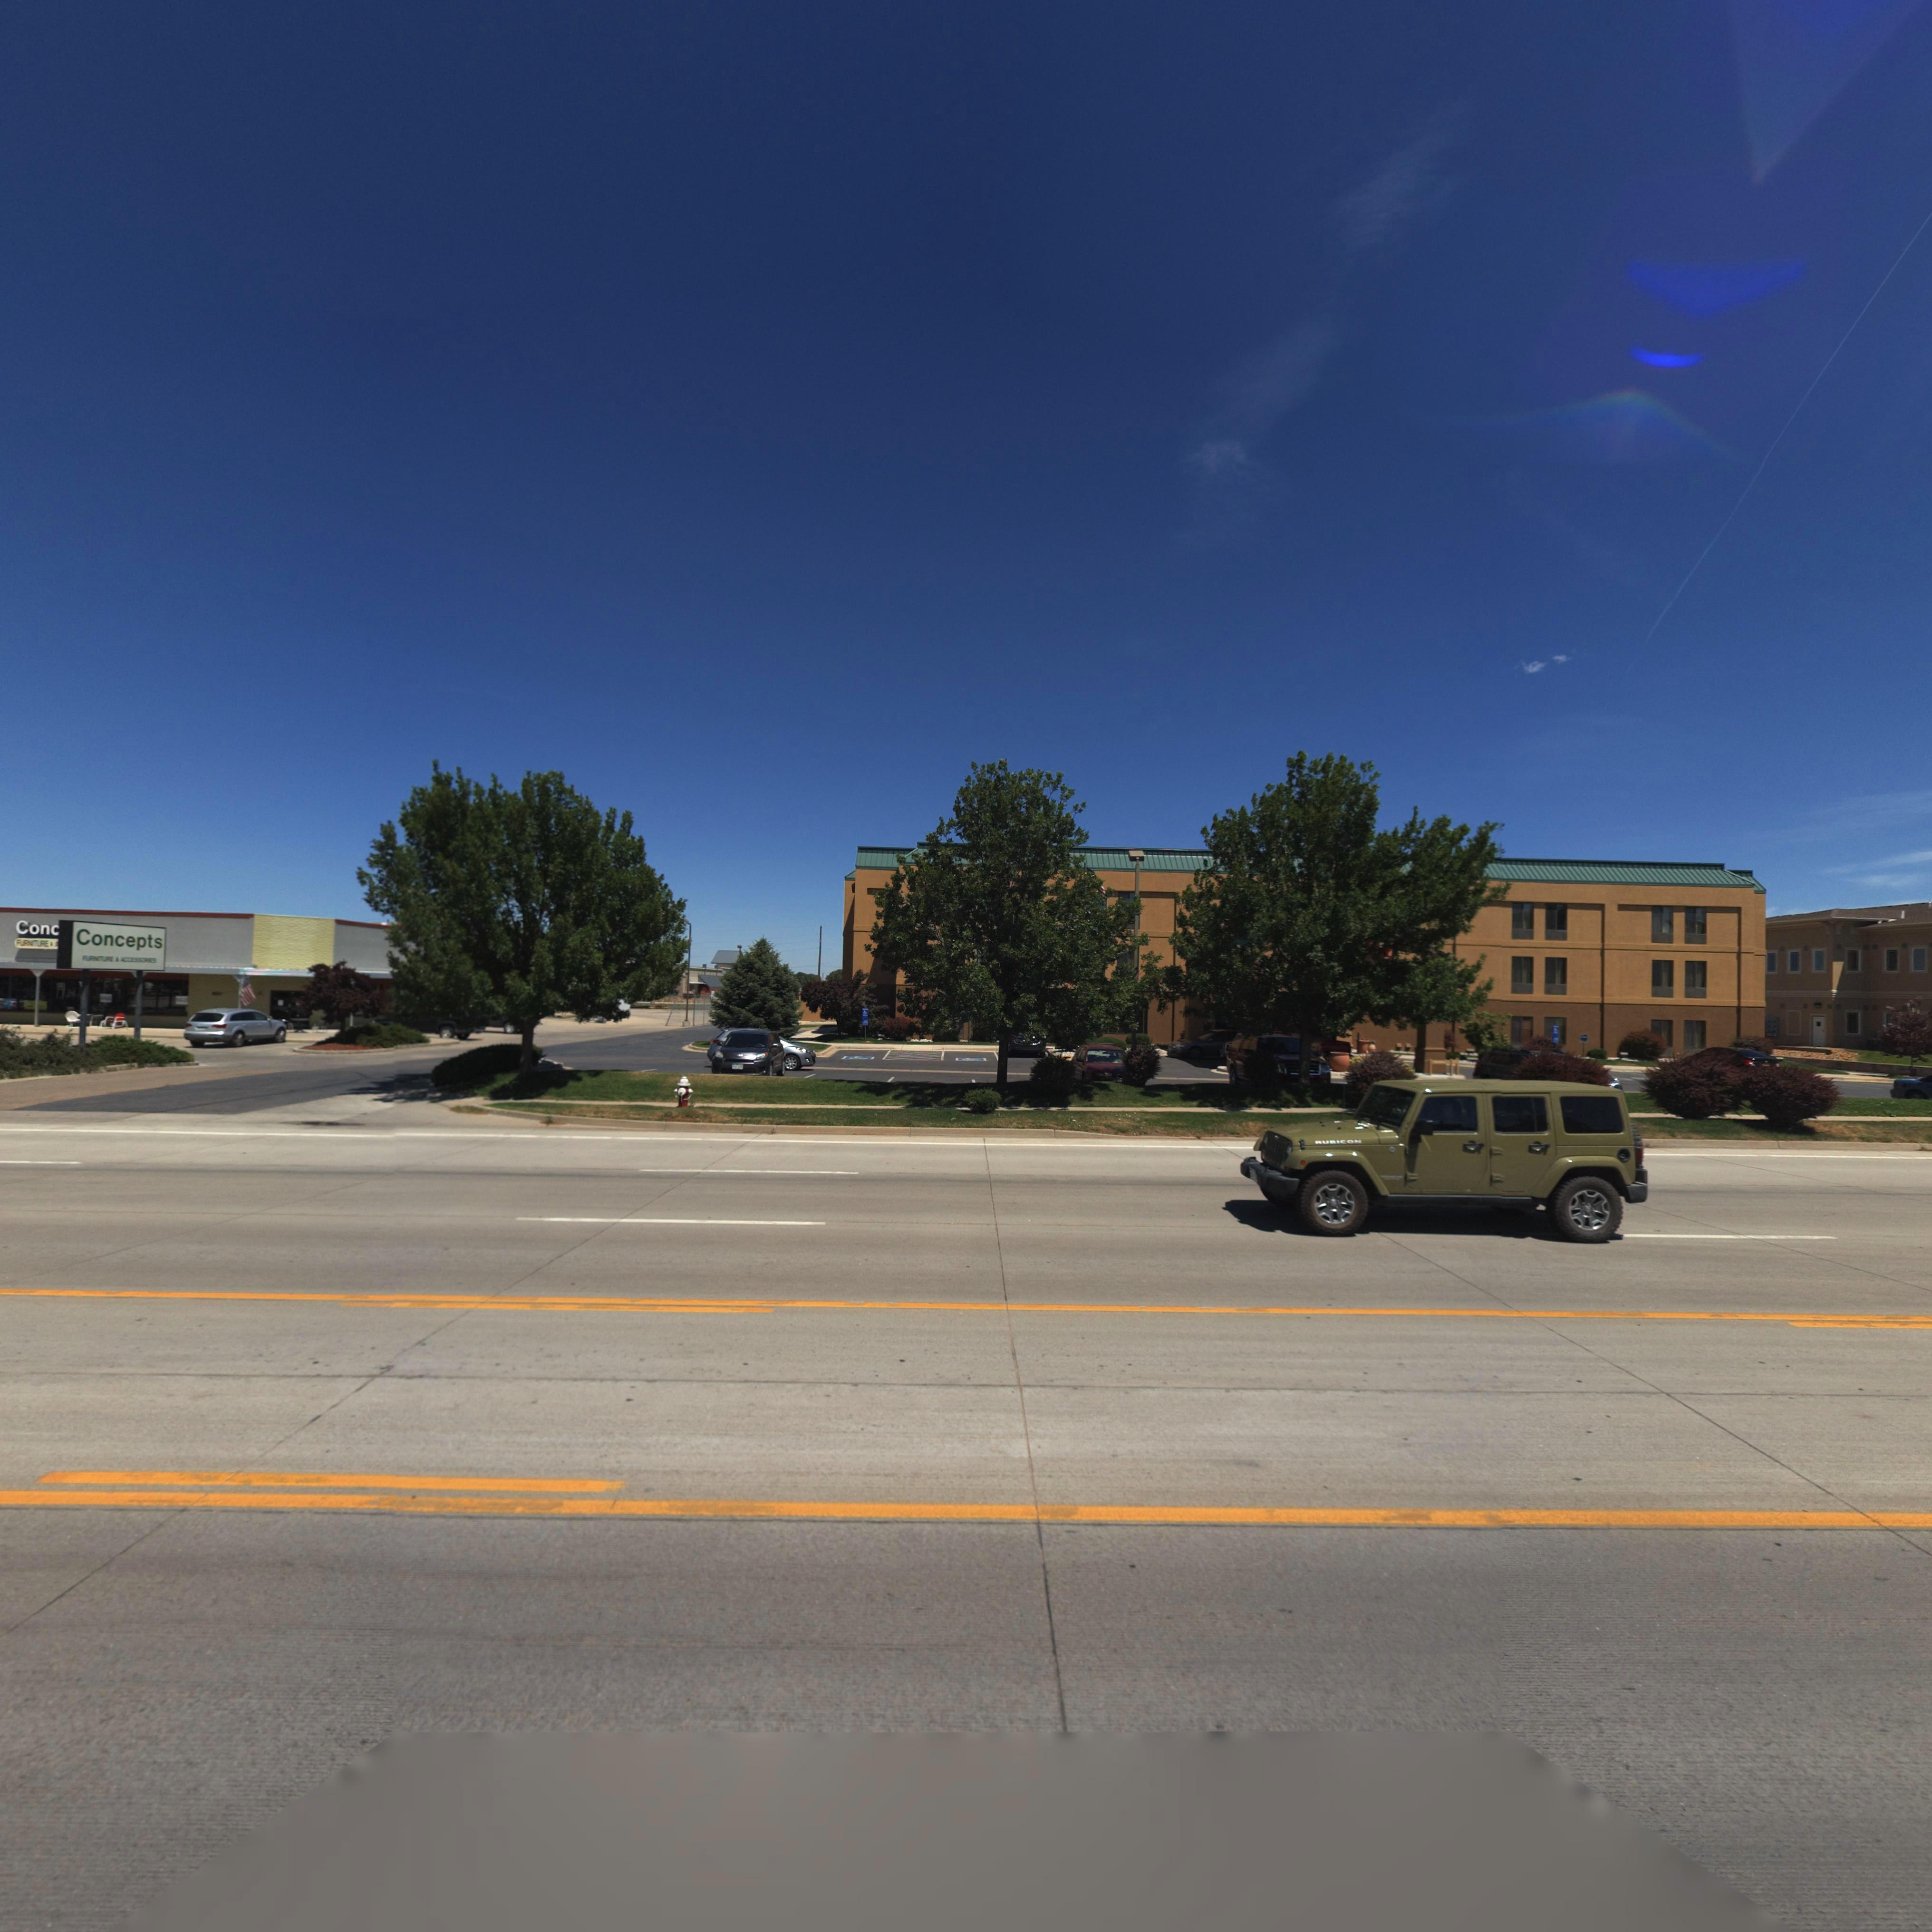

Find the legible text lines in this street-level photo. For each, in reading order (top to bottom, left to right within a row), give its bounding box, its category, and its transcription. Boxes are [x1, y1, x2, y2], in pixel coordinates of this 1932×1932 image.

[14, 919, 60, 936] BusinessName: Conc
[16, 939, 55, 947] BusinessName: FURNITURE &
[76, 927, 164, 951] BusinessName: Concepts
[82, 955, 157, 963] BusinessName: FURNITURE & ACCESSORIES